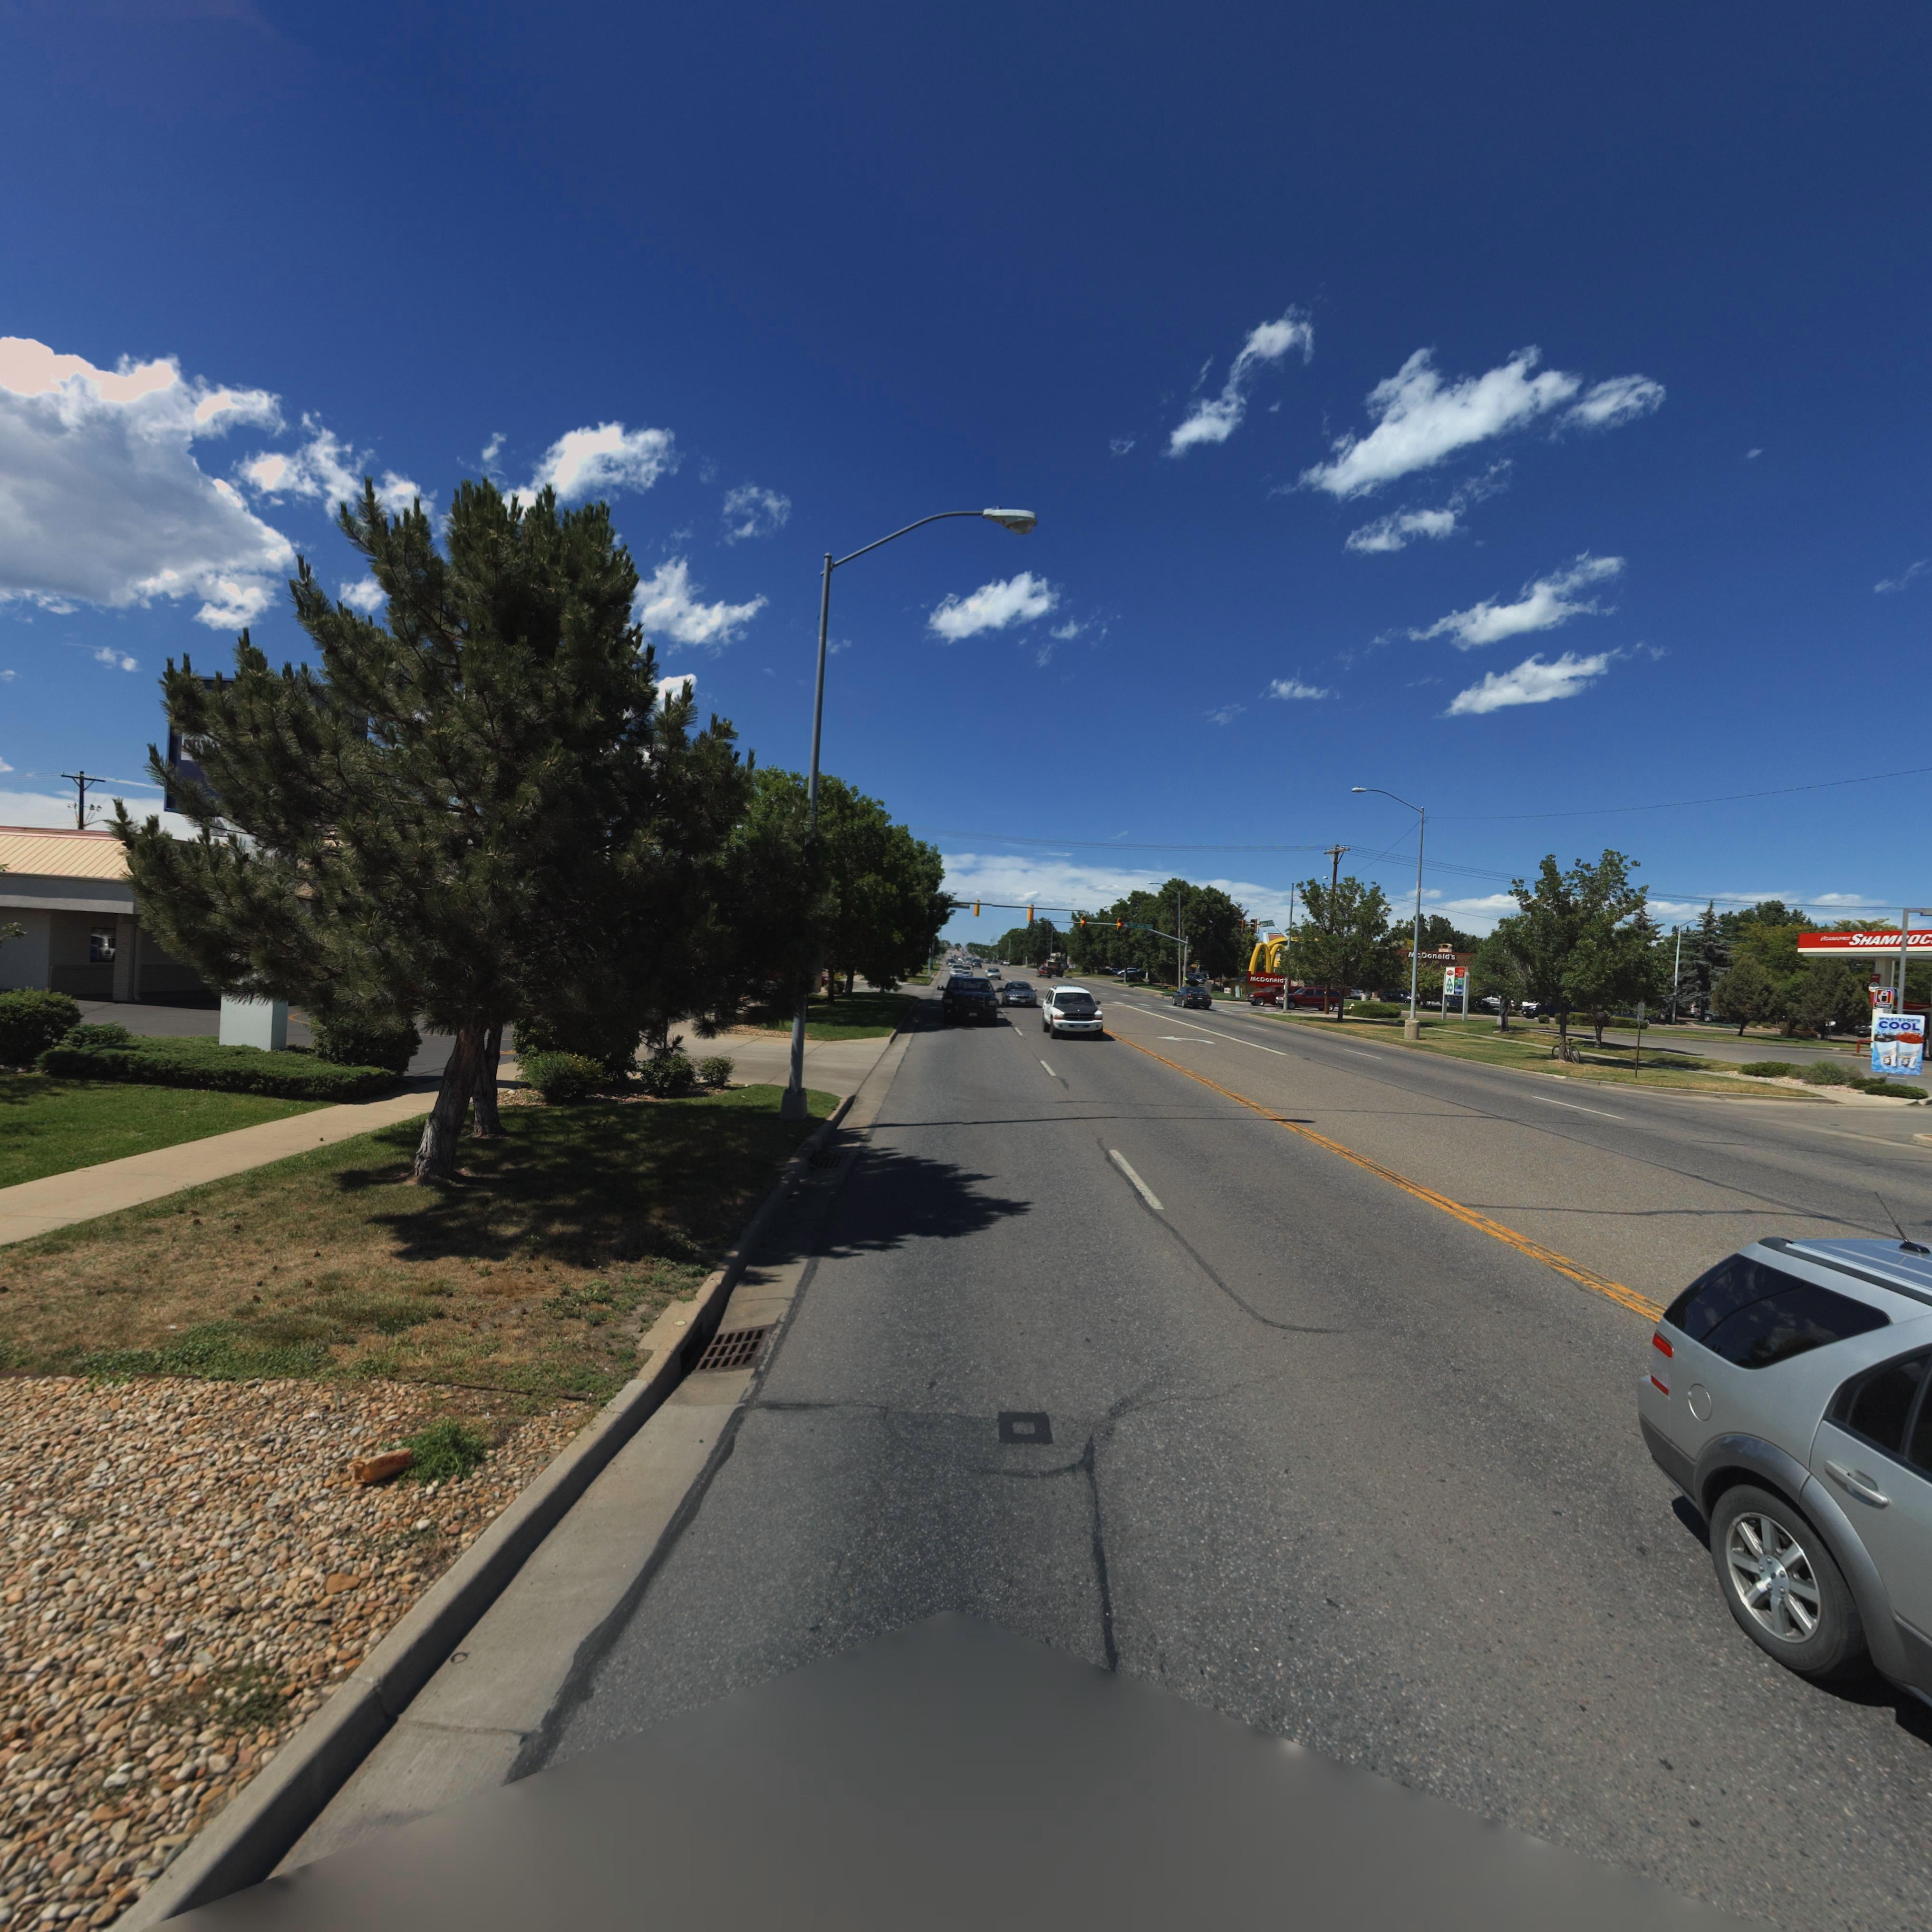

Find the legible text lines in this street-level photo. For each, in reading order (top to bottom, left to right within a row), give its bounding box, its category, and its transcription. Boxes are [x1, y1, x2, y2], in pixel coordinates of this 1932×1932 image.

[1129, 923, 1144, 928] StreetName: 1*** A**
[1848, 933, 1931, 946] BusinessName: SHAM*OC
[1407, 951, 1455, 960] BusinessName: **Donald's
[1249, 976, 1284, 983] BusinessName: McDonald